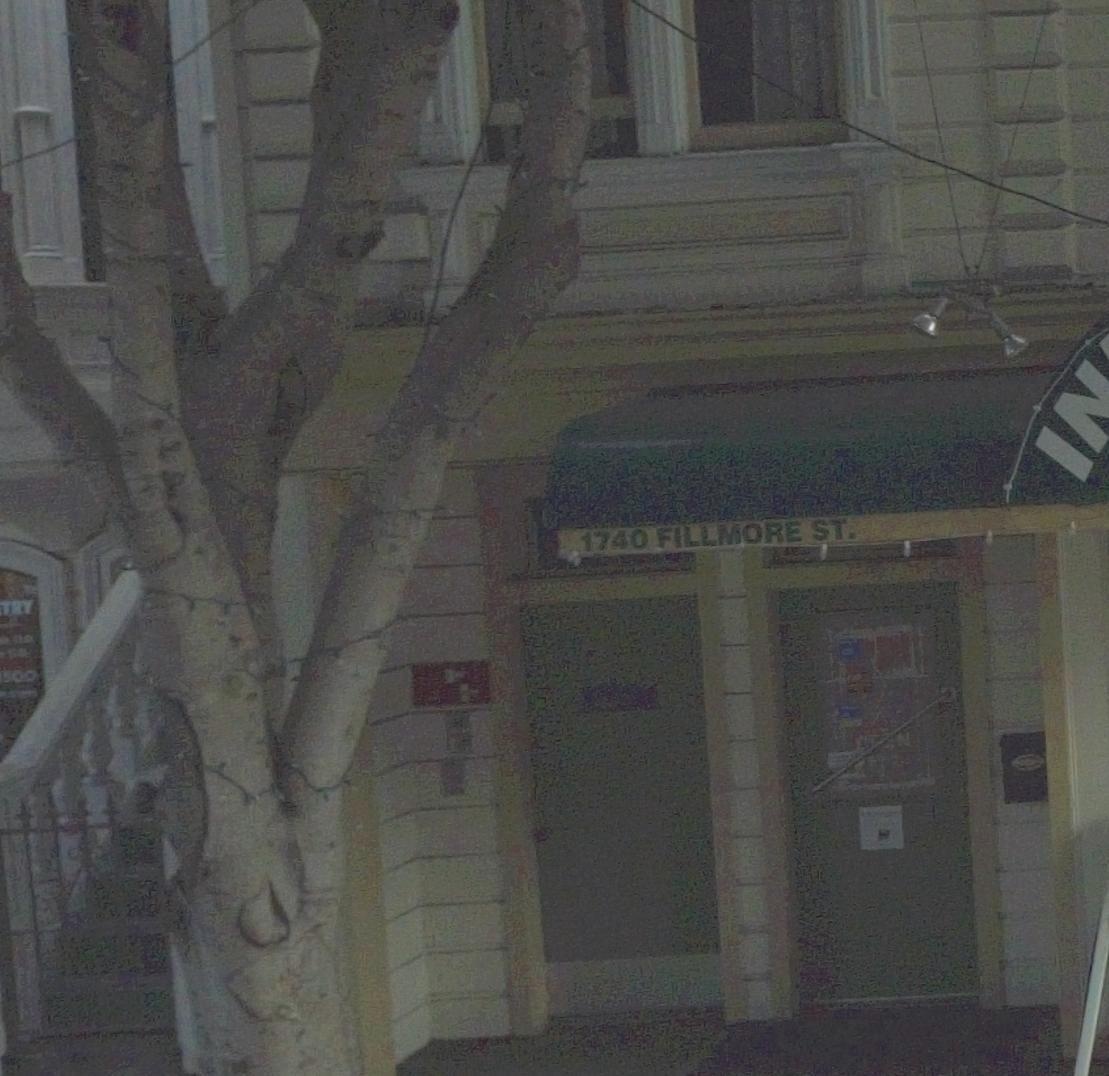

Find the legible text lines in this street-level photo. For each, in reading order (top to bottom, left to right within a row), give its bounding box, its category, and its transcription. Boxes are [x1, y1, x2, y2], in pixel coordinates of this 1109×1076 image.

[578, 526, 651, 555] StreetNumber: 1740
[654, 515, 861, 551] StreetName: FILLMORE ST.